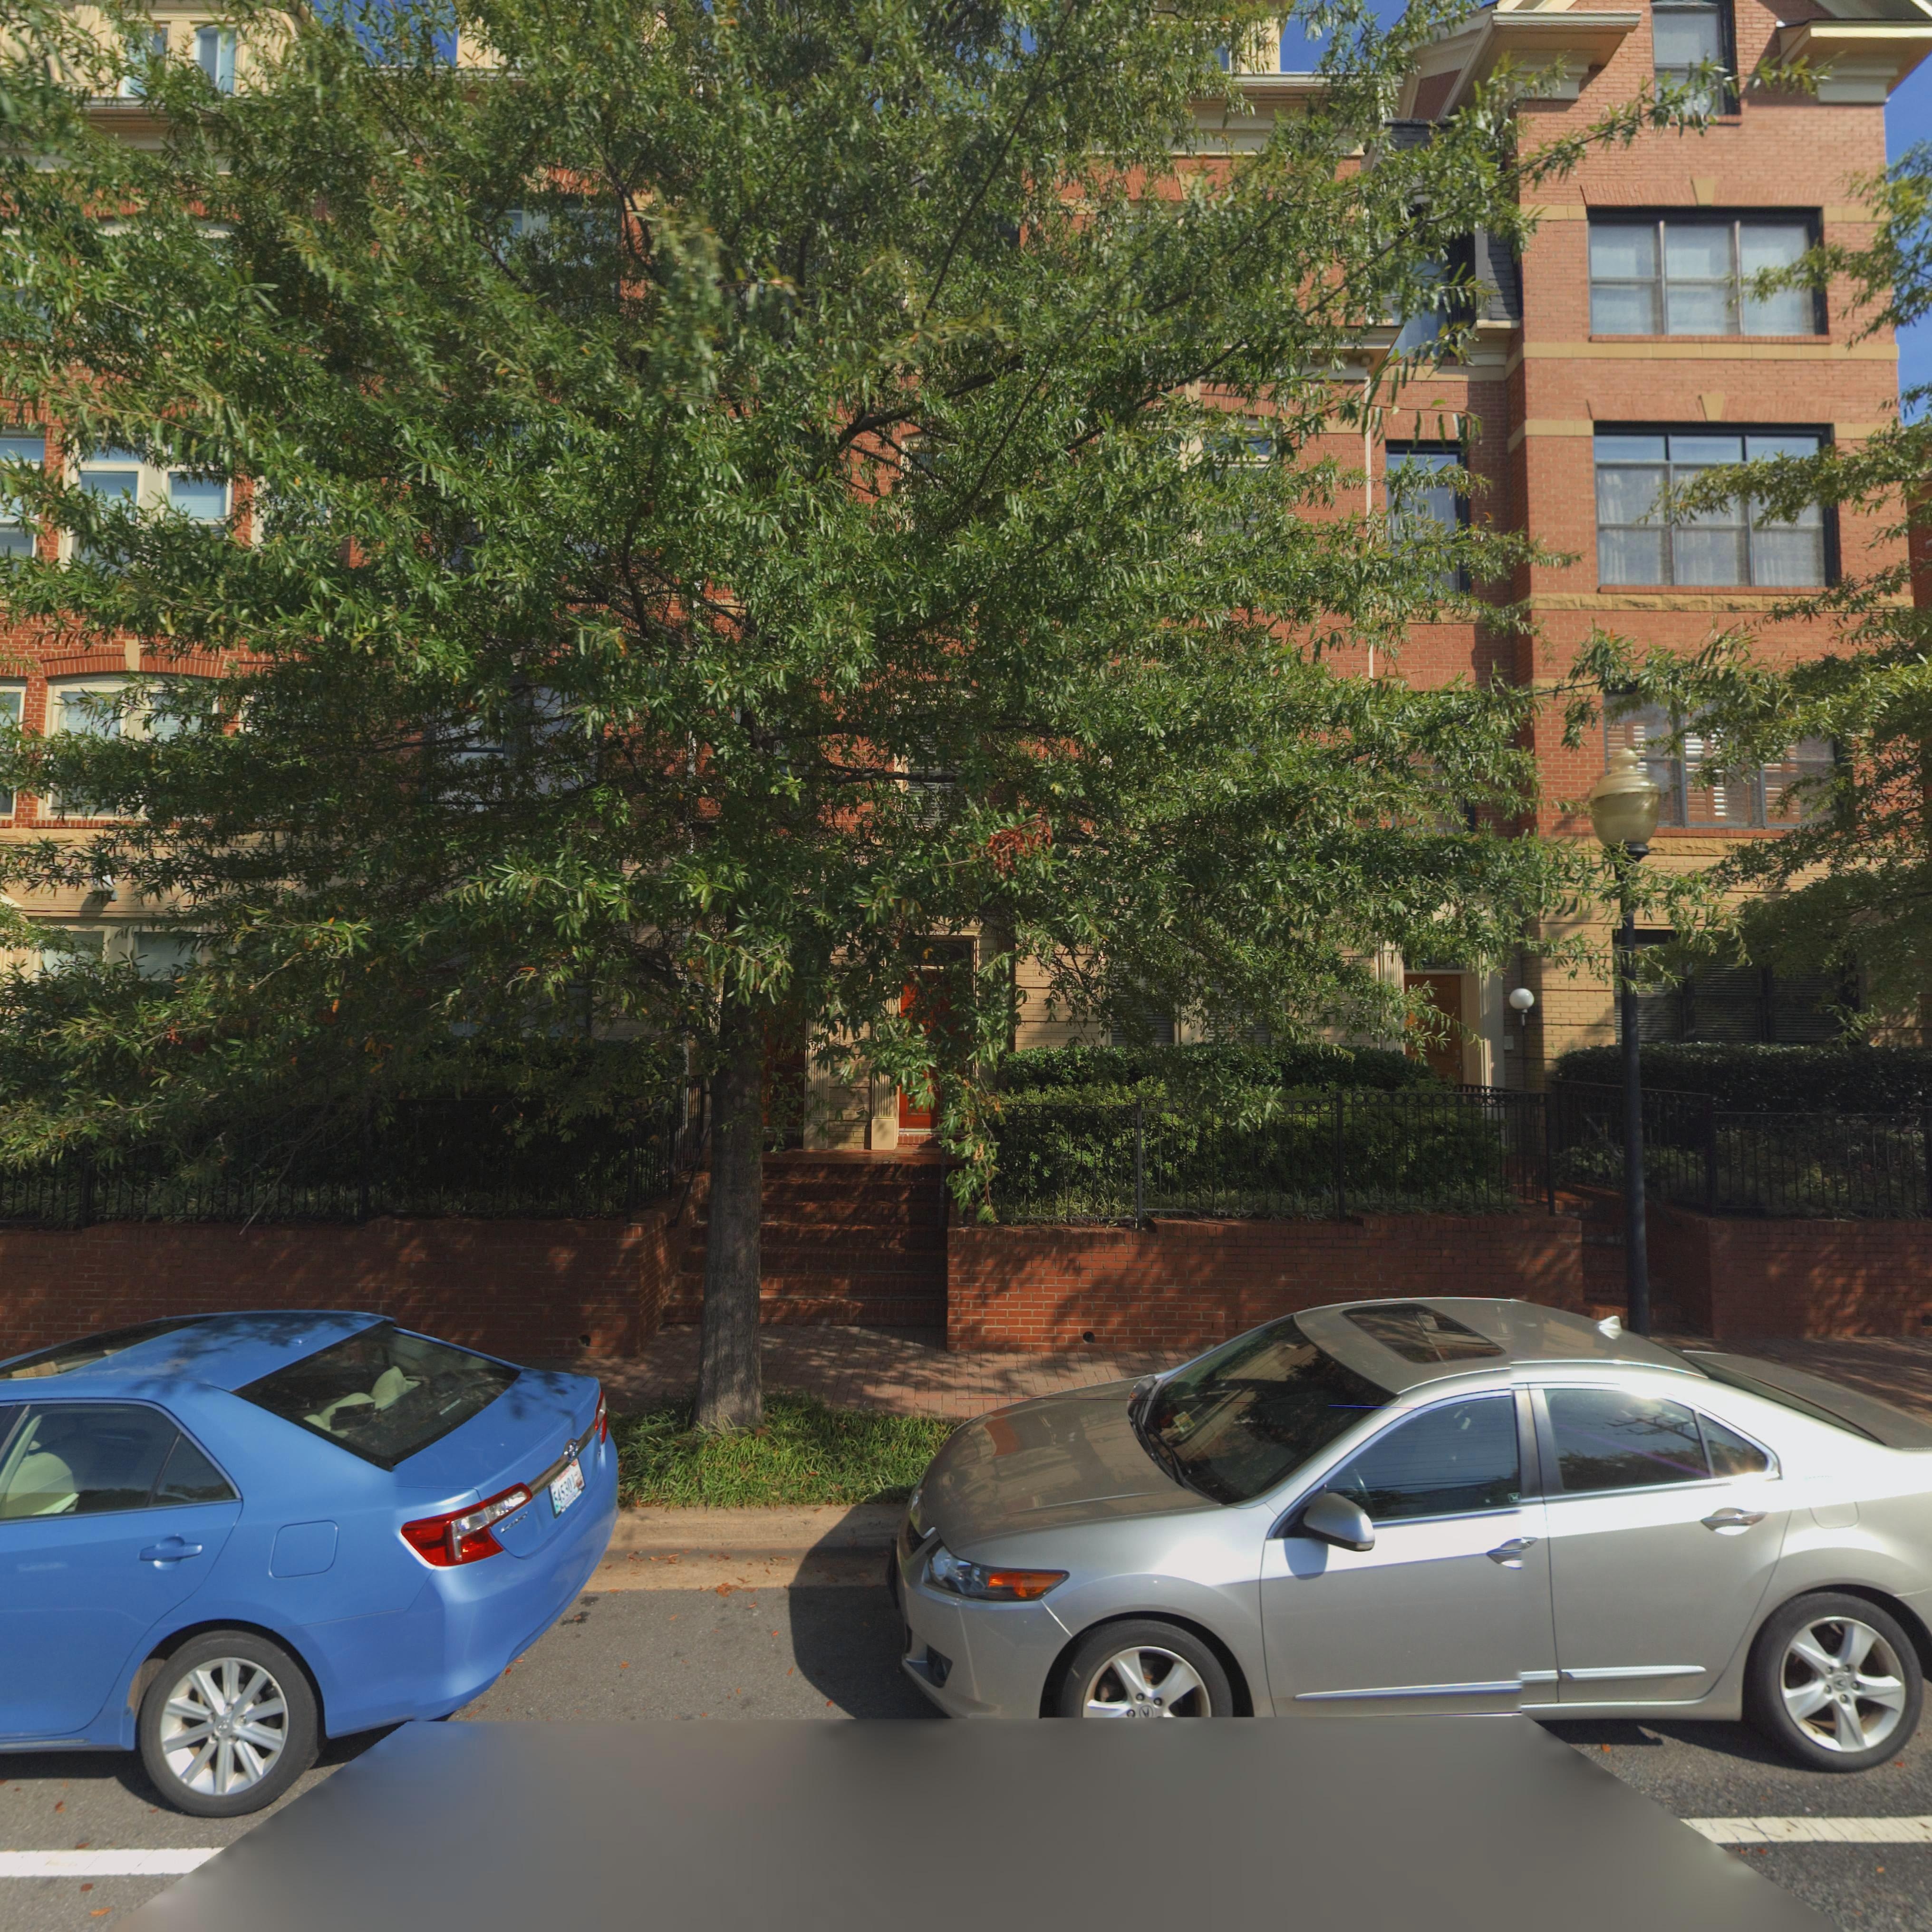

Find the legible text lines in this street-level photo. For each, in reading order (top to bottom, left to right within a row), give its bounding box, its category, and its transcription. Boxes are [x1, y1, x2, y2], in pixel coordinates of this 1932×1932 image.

[552, 1471, 578, 1509] None: 545301
[499, 1509, 530, 1535] None: CAMRY